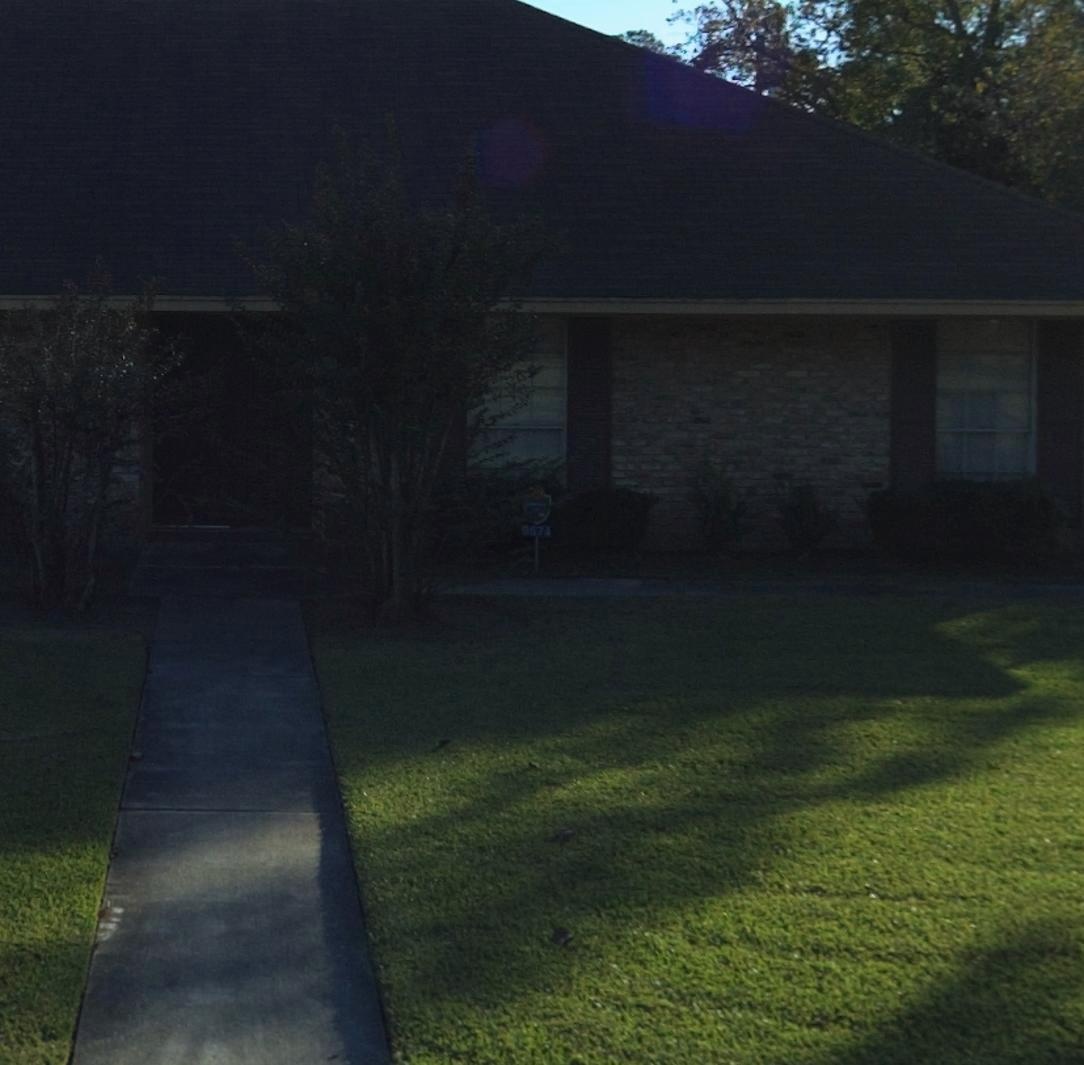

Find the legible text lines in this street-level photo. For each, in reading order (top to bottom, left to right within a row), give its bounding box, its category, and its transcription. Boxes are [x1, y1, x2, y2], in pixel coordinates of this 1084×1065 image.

[520, 524, 554, 538] StreetNumber: 9574